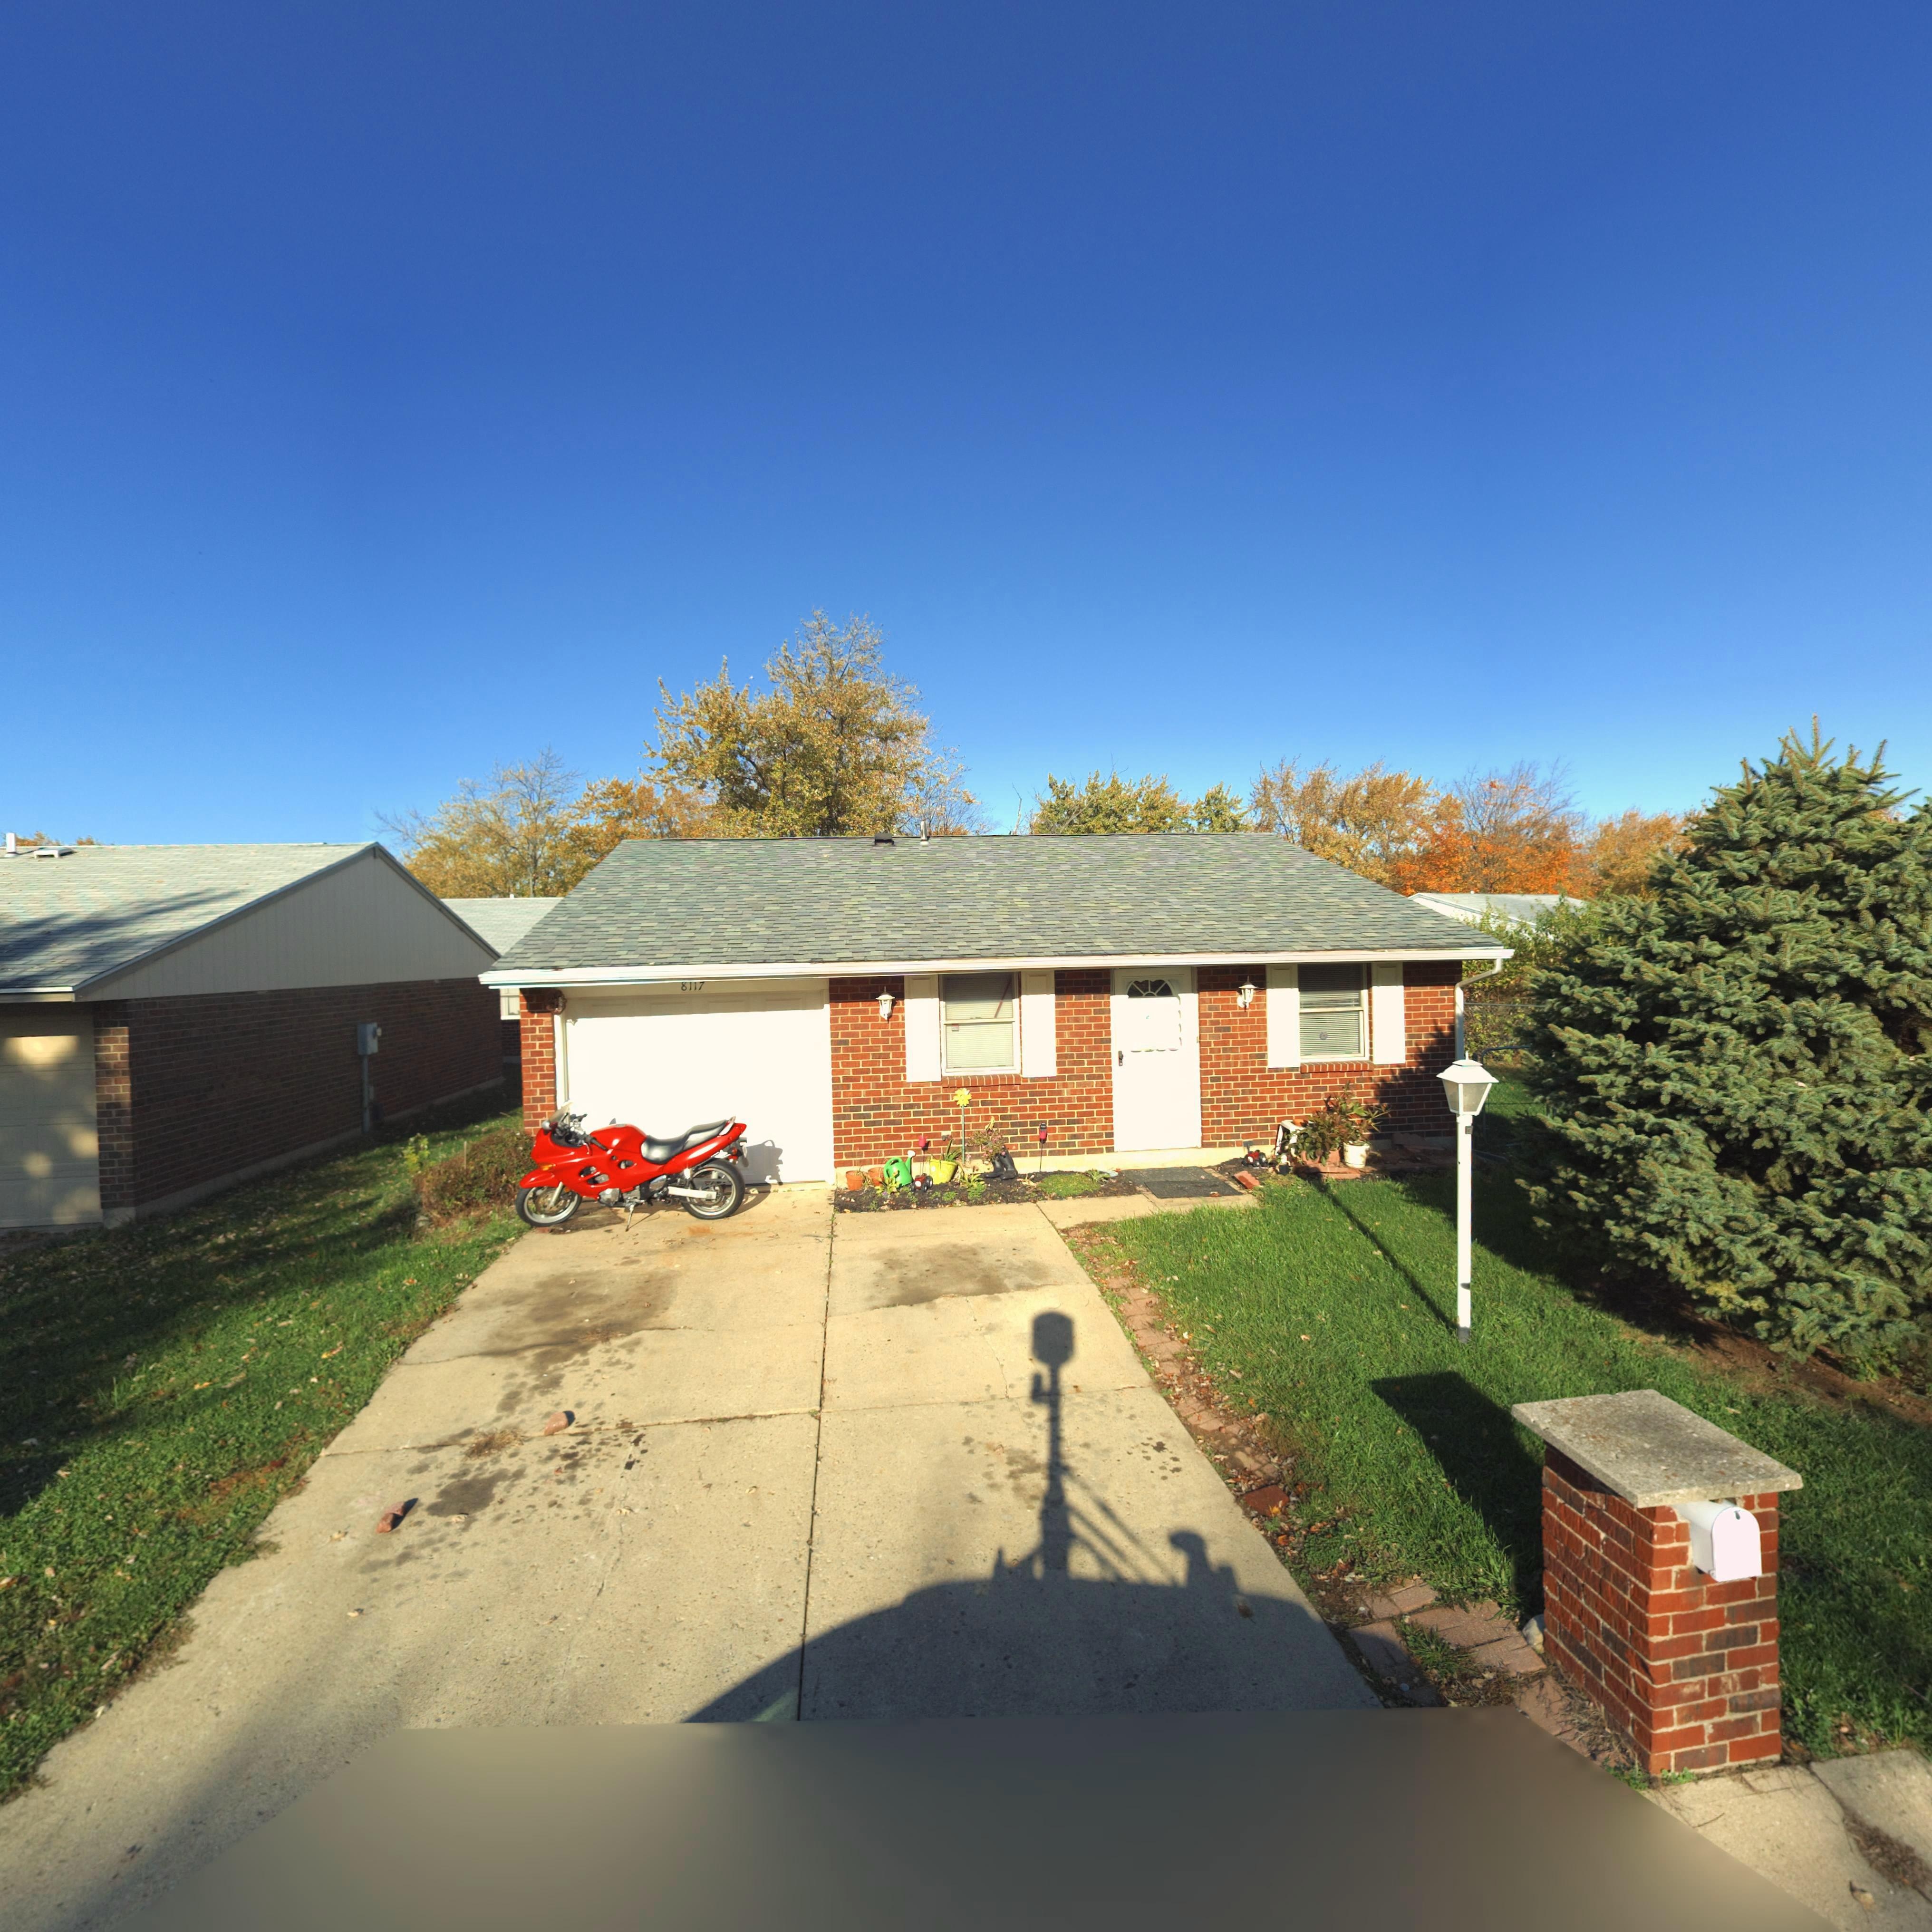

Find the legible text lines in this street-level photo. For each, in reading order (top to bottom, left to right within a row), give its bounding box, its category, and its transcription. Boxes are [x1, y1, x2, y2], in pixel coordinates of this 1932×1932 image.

[680, 980, 707, 993] StreetNumber: 8117